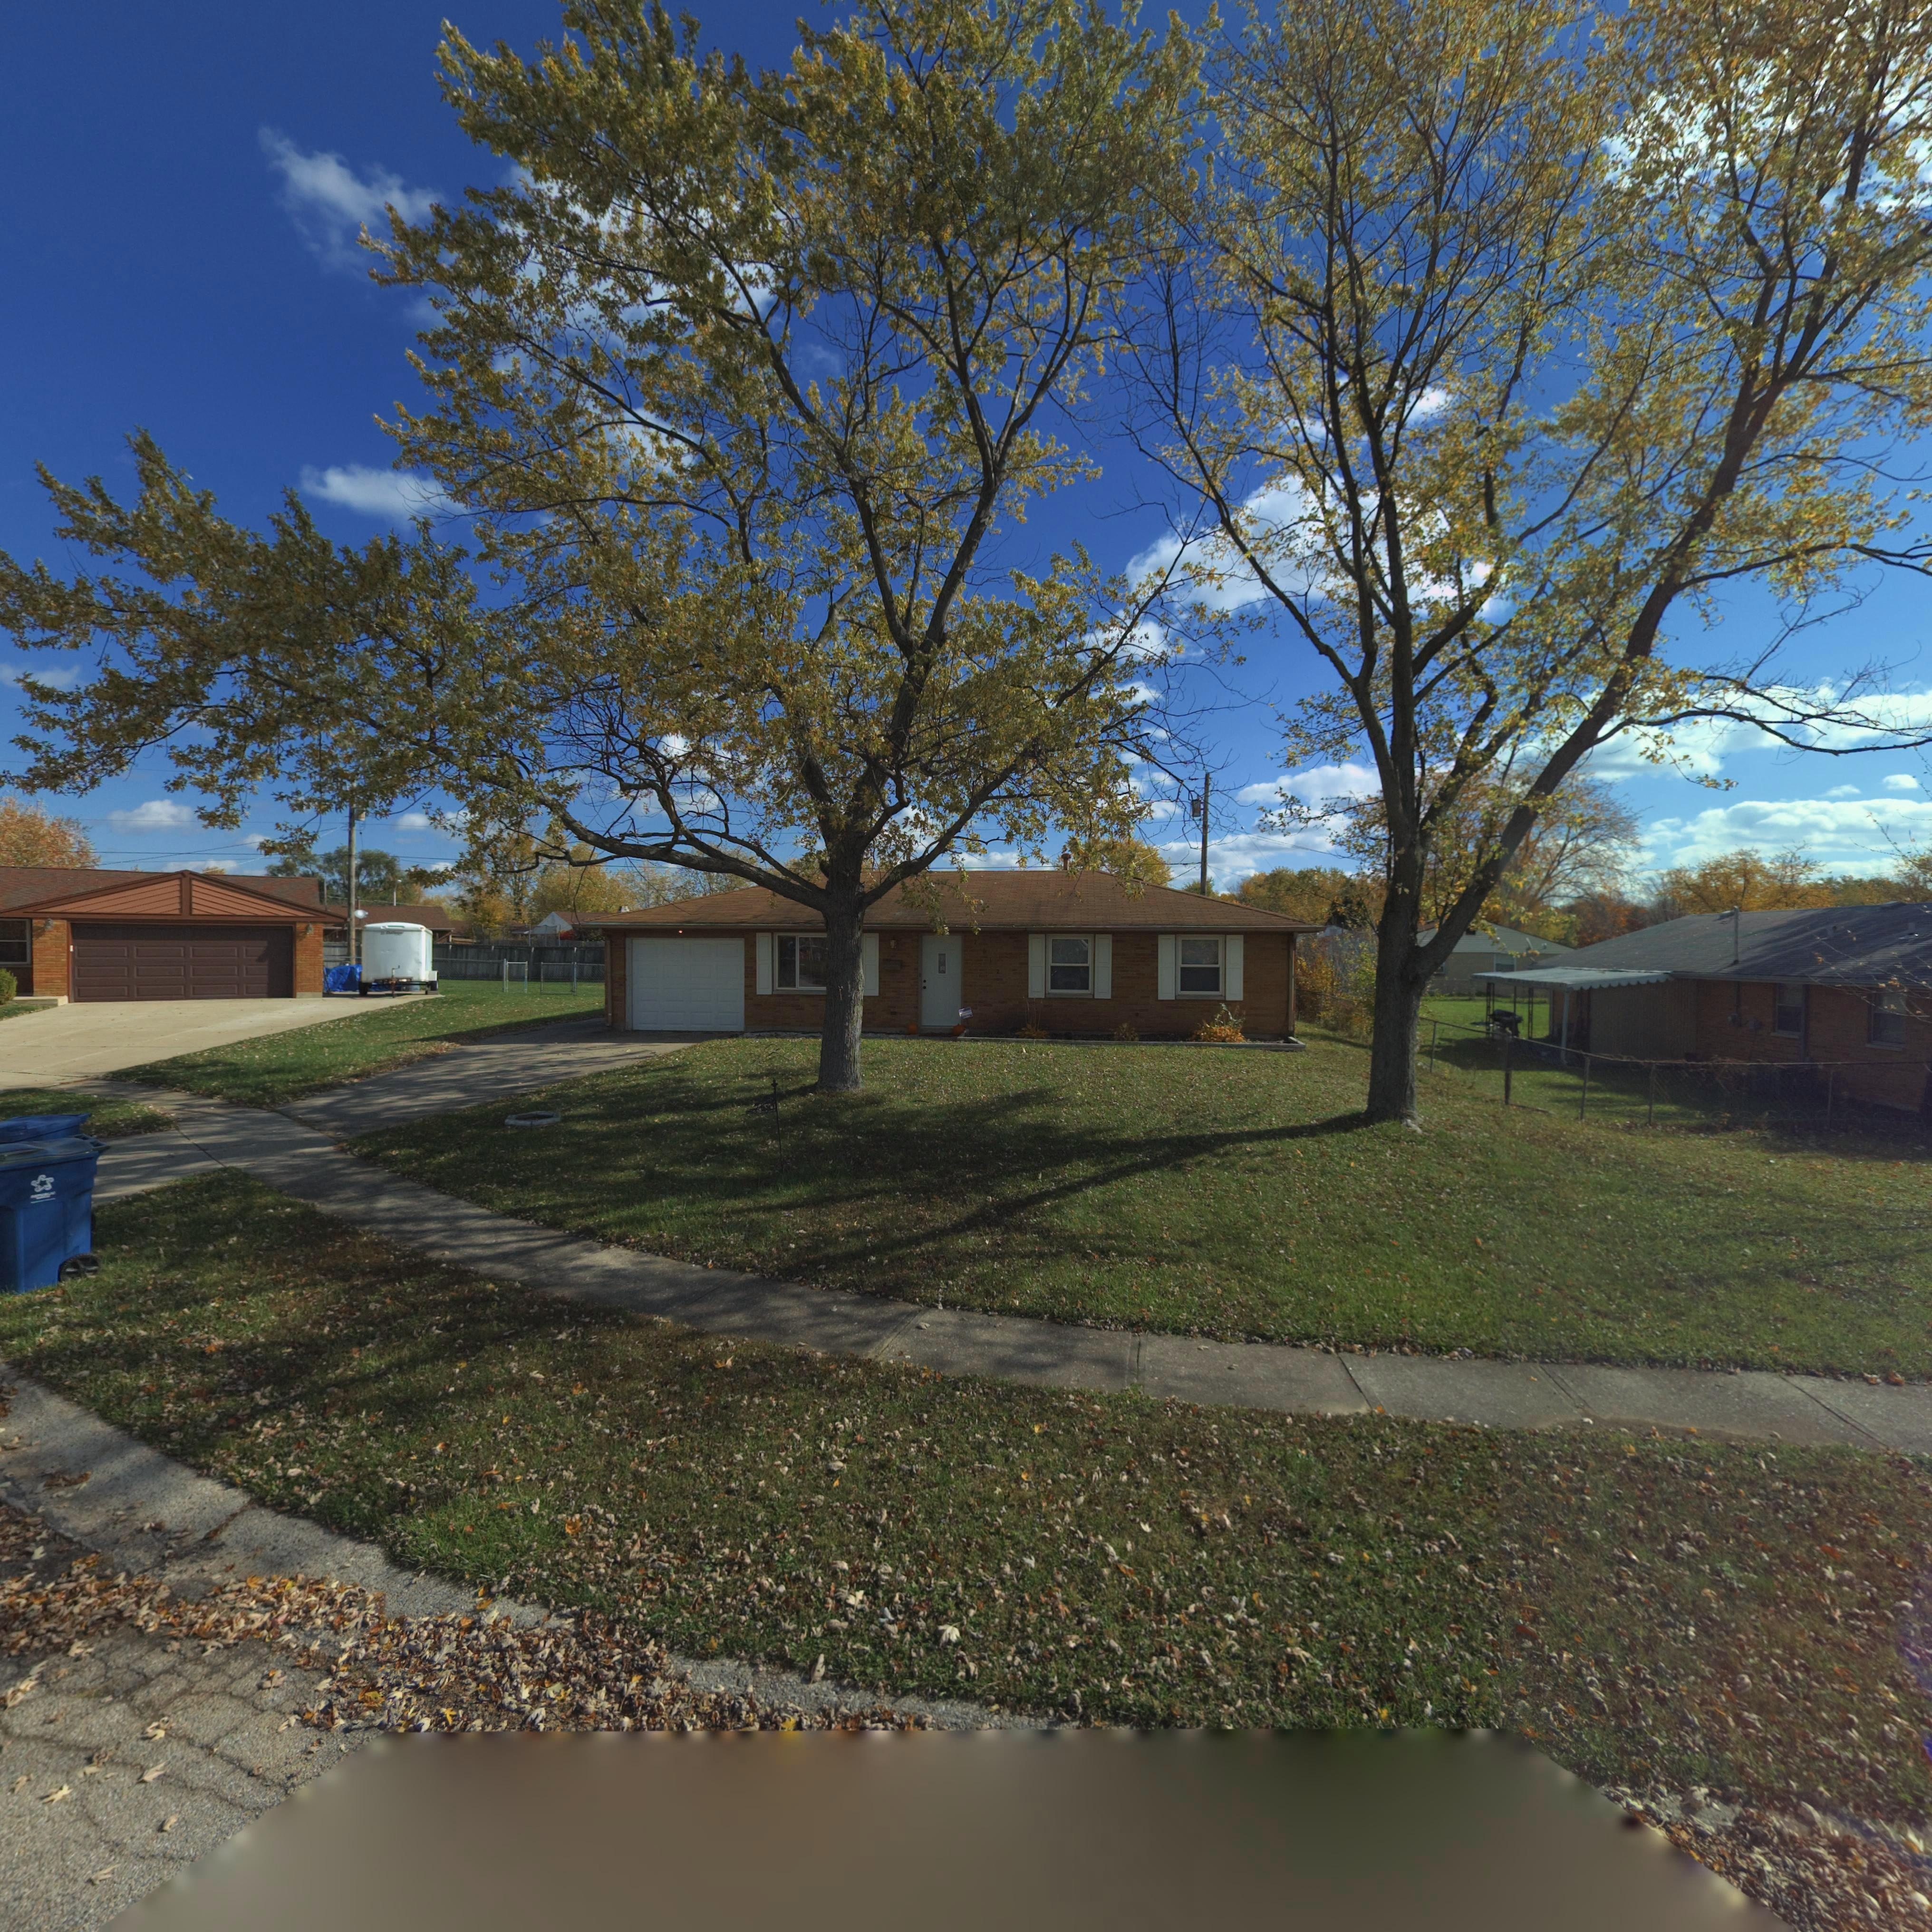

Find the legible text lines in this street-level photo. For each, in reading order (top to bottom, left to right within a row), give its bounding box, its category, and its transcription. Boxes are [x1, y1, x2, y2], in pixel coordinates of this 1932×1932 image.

[973, 938, 1000, 975] StreetNumber: 7612